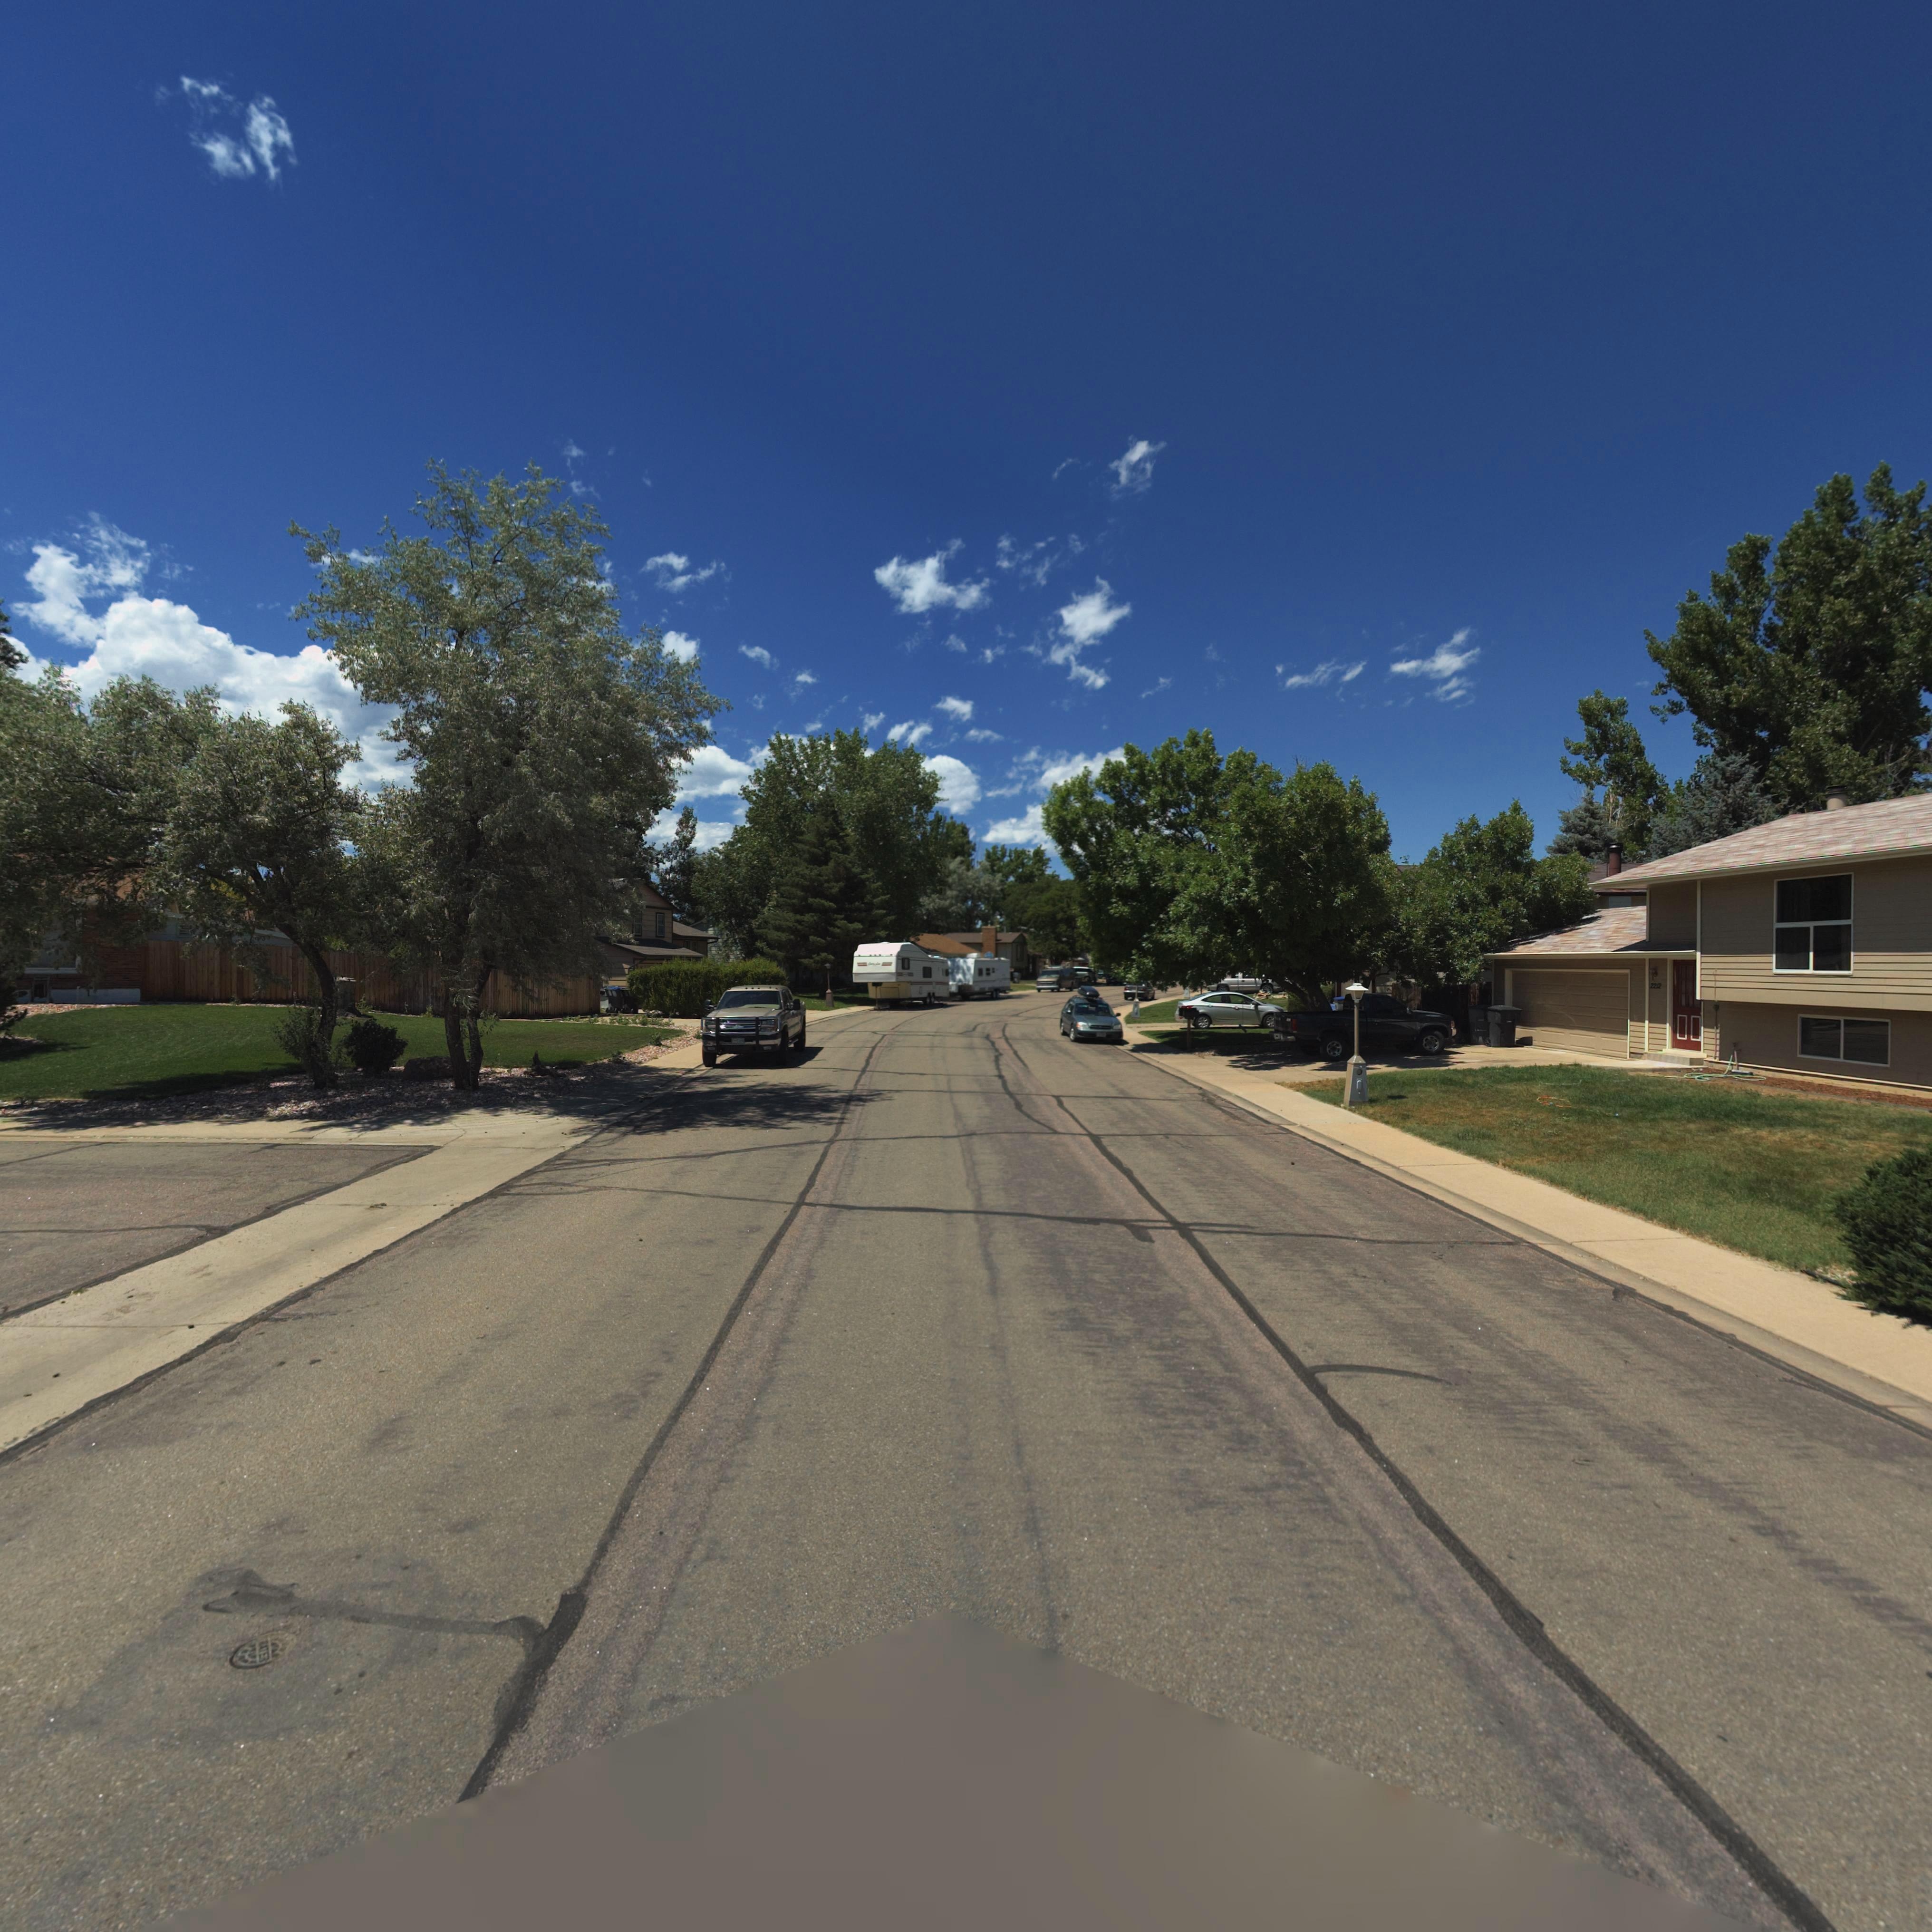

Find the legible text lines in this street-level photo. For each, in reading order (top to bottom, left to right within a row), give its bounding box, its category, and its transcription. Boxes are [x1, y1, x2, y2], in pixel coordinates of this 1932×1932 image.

[1650, 983, 1662, 988] StreetNumber: 221*